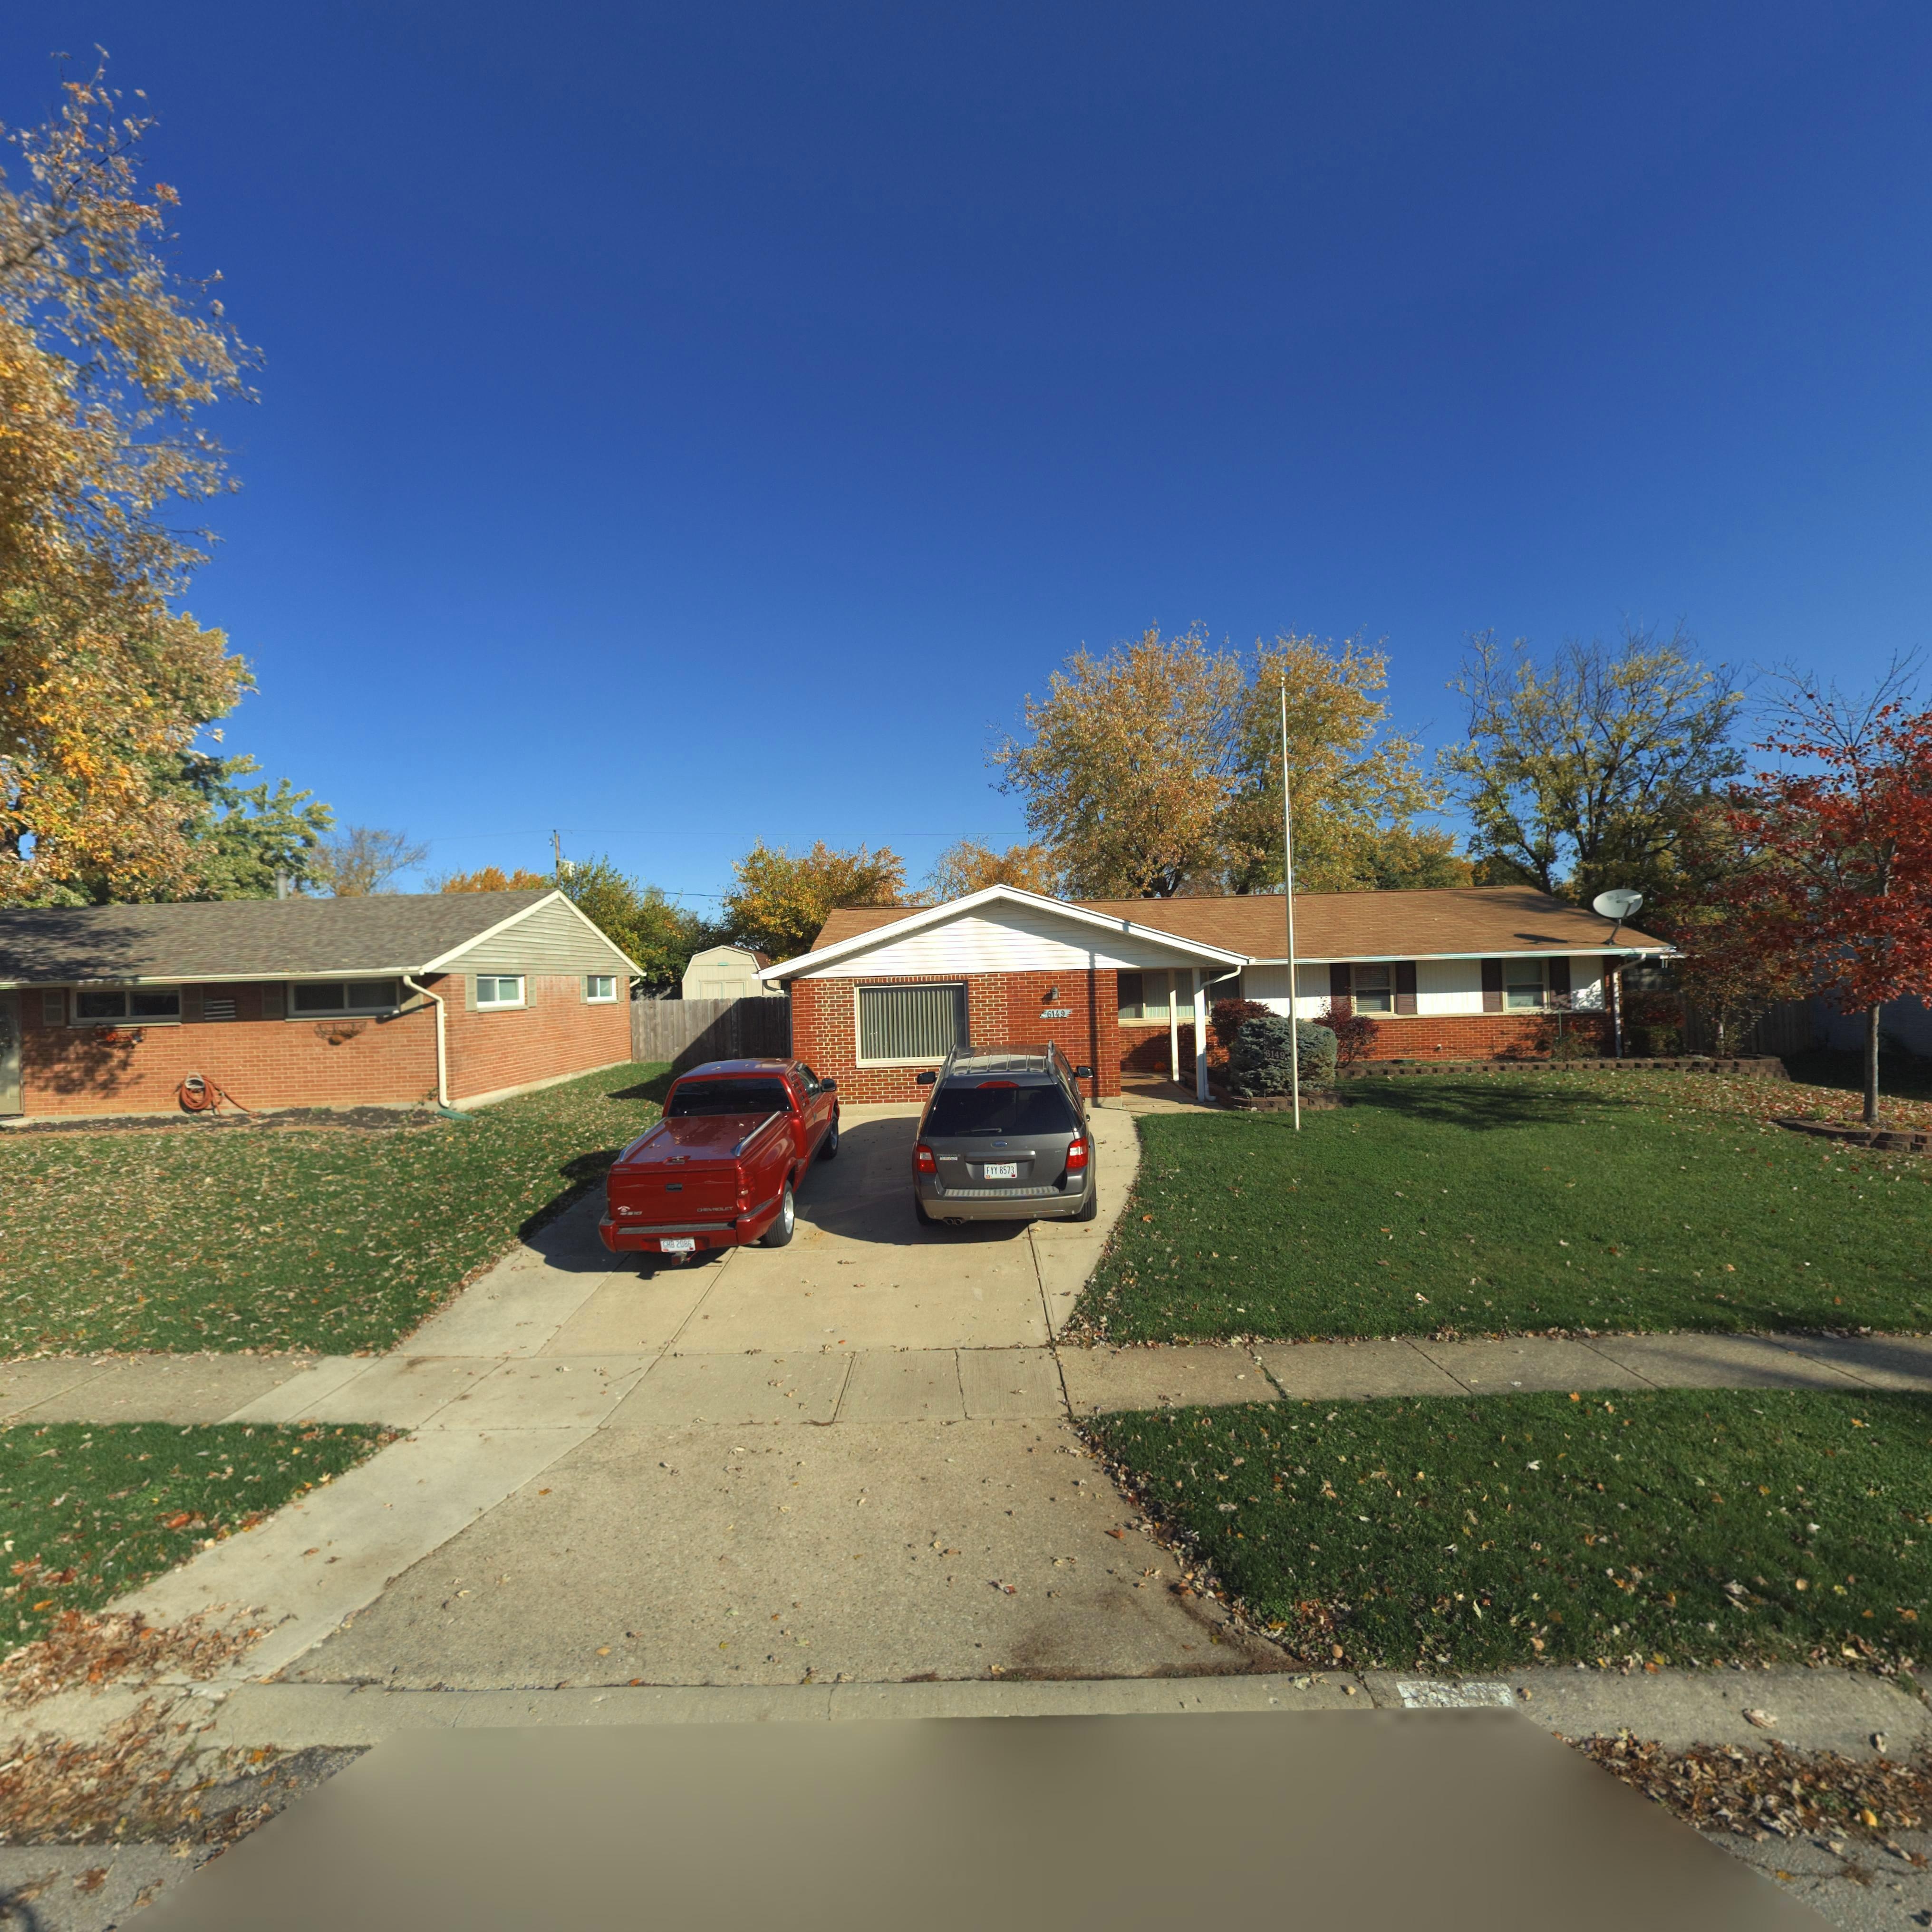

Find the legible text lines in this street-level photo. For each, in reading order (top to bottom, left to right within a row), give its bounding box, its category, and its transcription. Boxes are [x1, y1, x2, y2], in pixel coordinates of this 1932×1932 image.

[1047, 1010, 1065, 1018] StreetNumber: 6149
[1265, 1049, 1285, 1060] StreetNumber: 6149